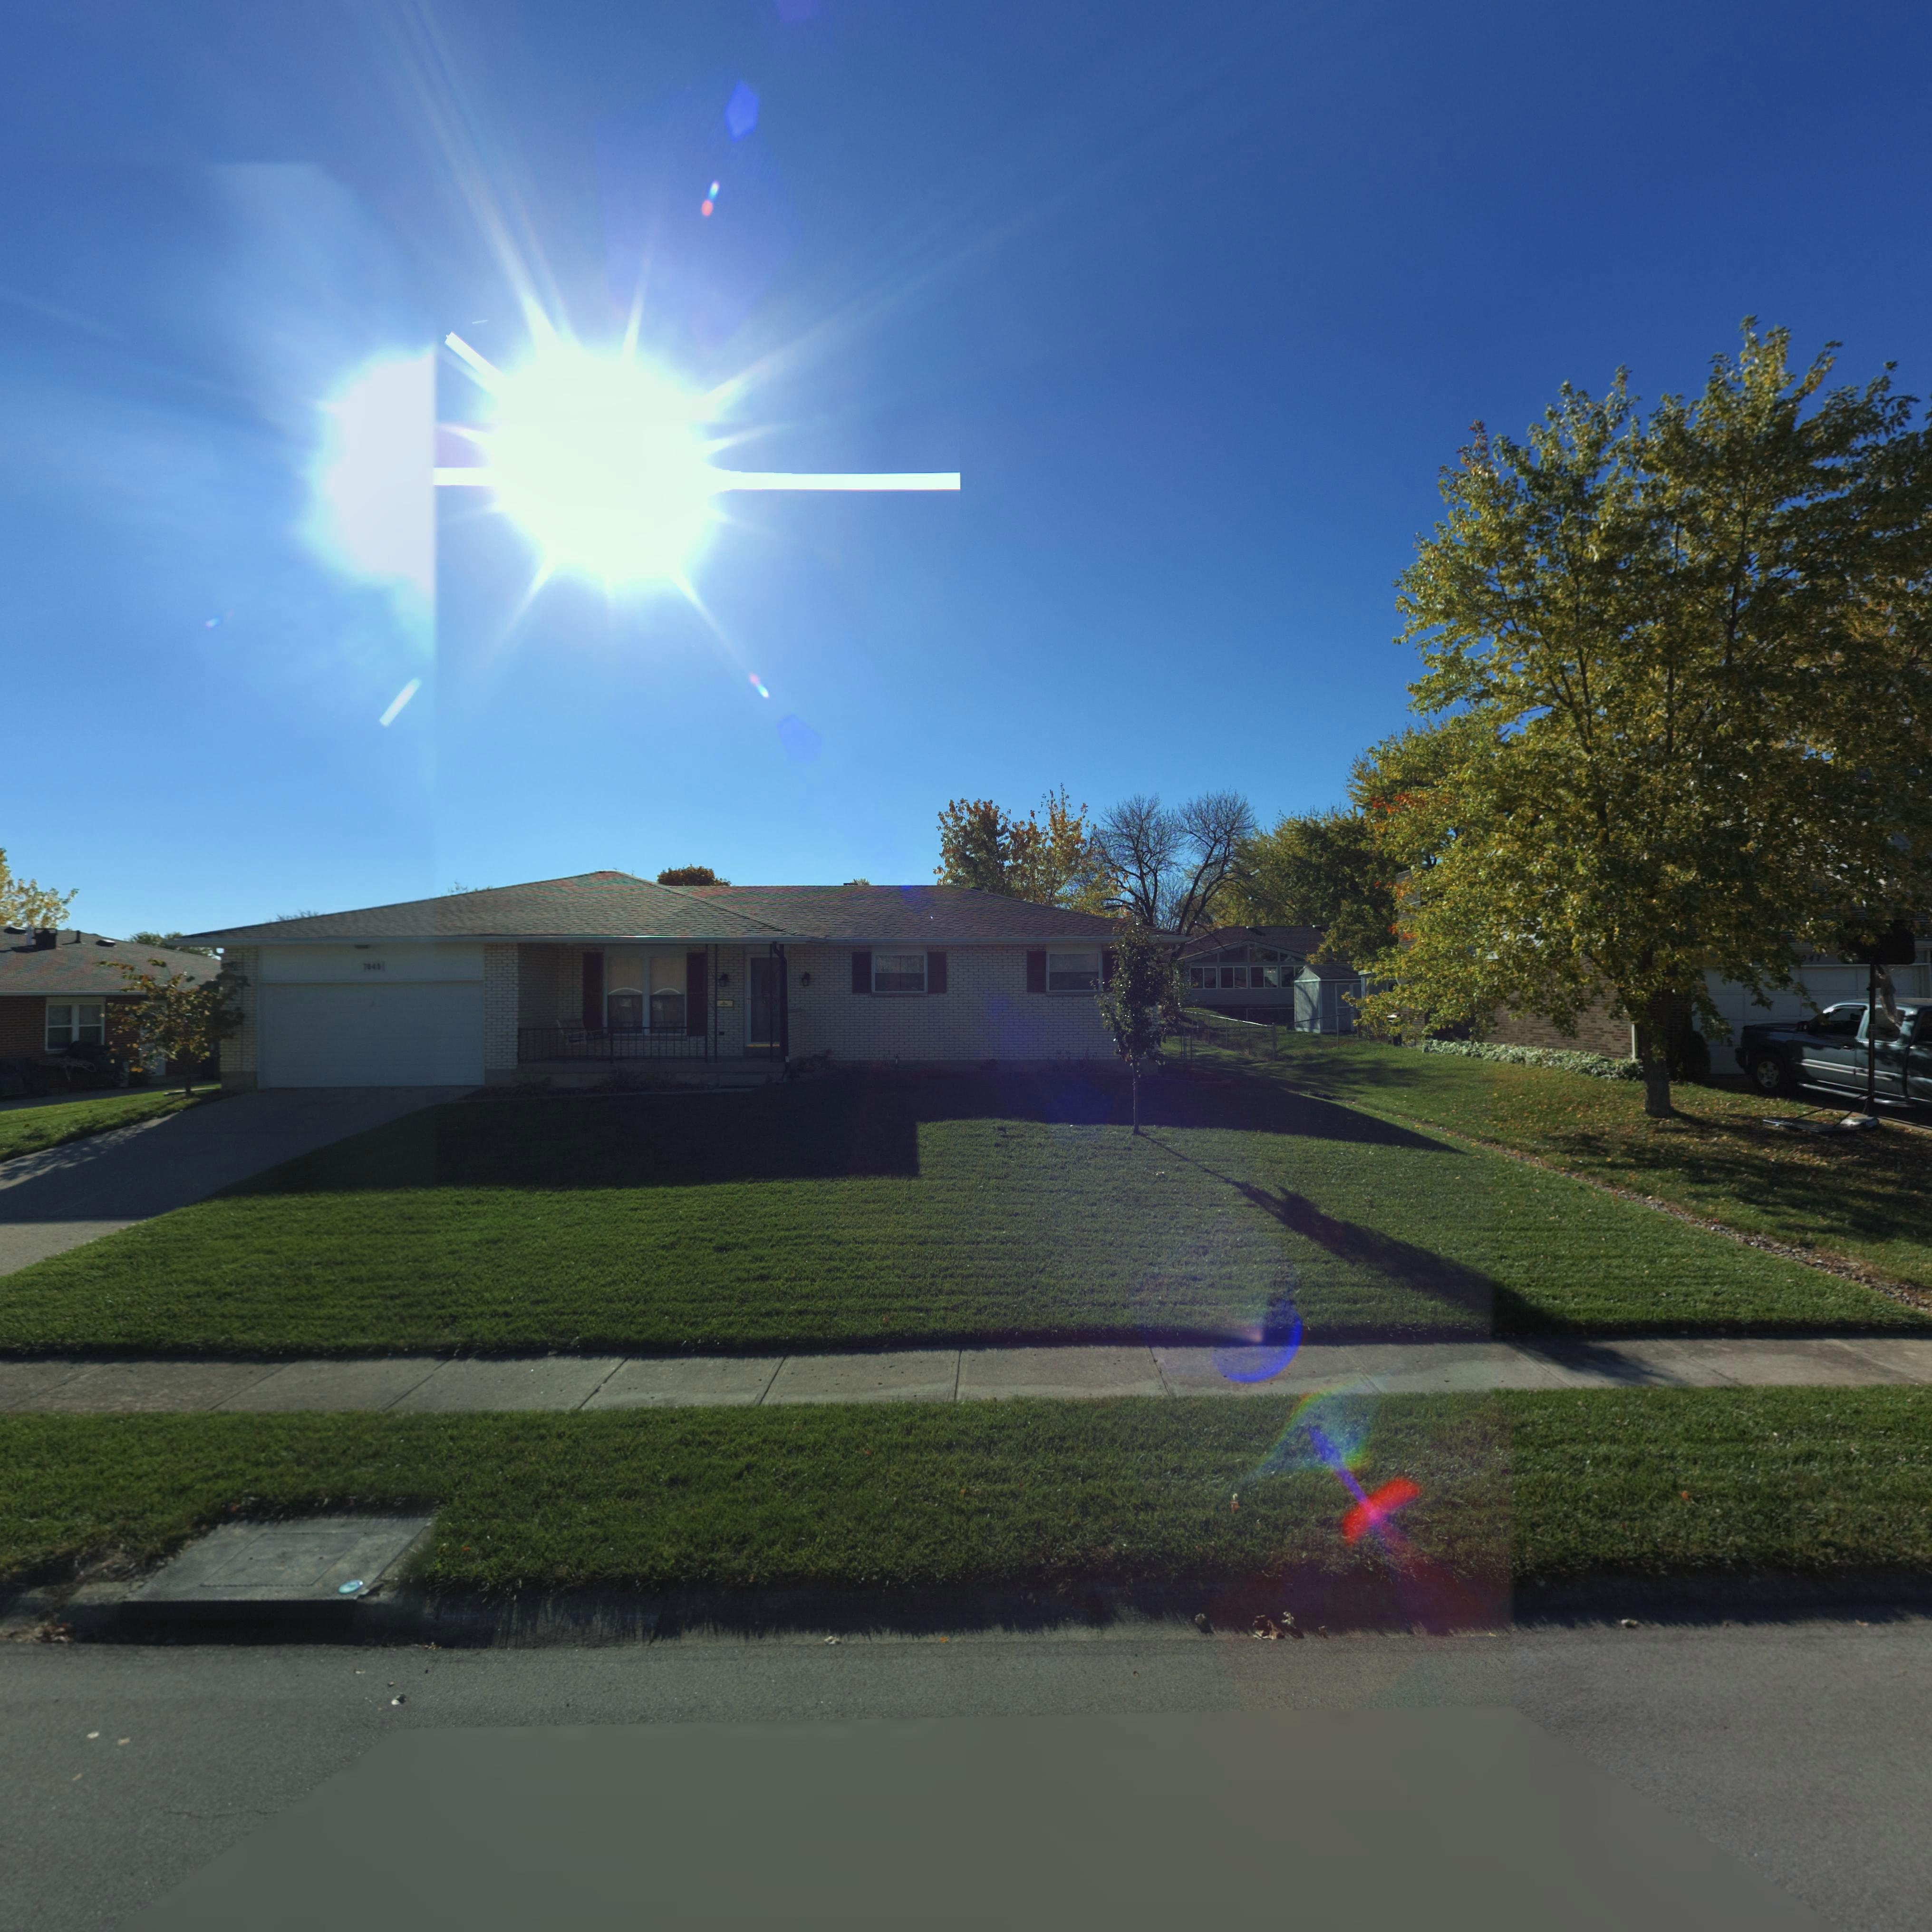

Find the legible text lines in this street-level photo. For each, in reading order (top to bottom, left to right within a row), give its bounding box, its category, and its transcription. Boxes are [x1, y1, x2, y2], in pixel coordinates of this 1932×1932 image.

[363, 963, 381, 970] StreetNumber: 7045